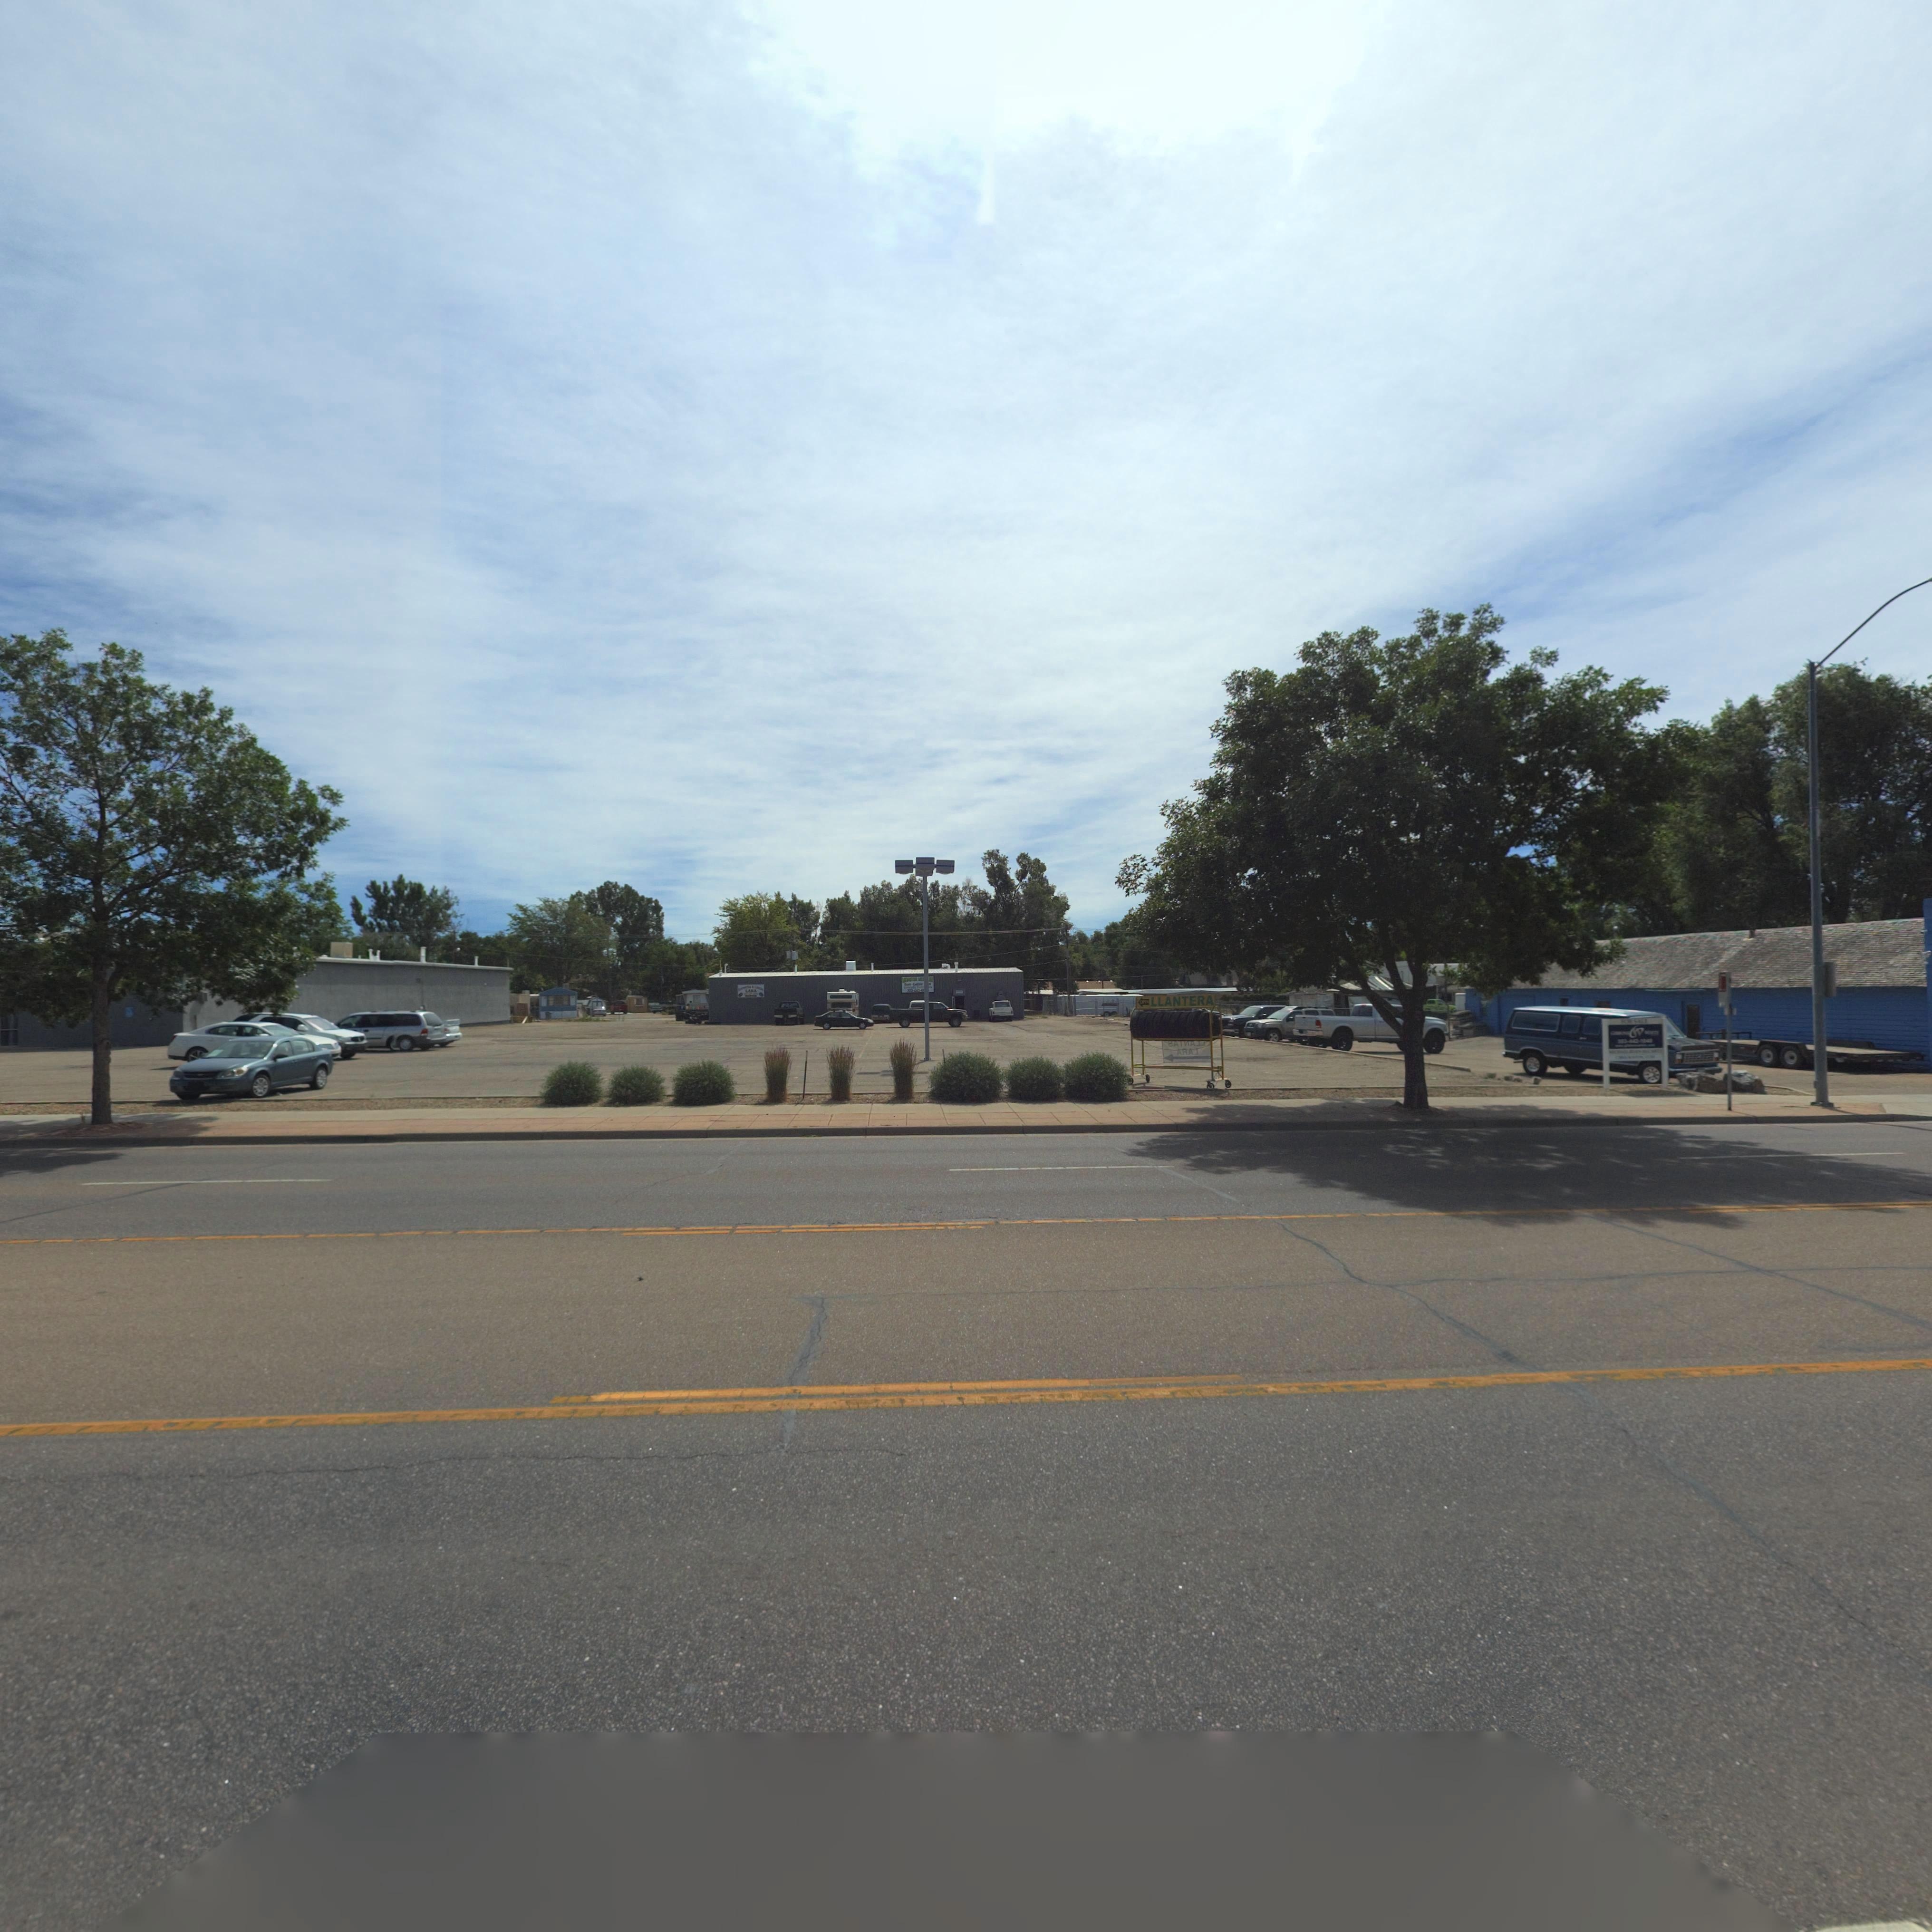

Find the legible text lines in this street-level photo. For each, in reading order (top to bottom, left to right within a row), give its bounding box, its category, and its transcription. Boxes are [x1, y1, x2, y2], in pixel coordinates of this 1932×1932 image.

[900, 977, 918, 983] BusinessName: M******